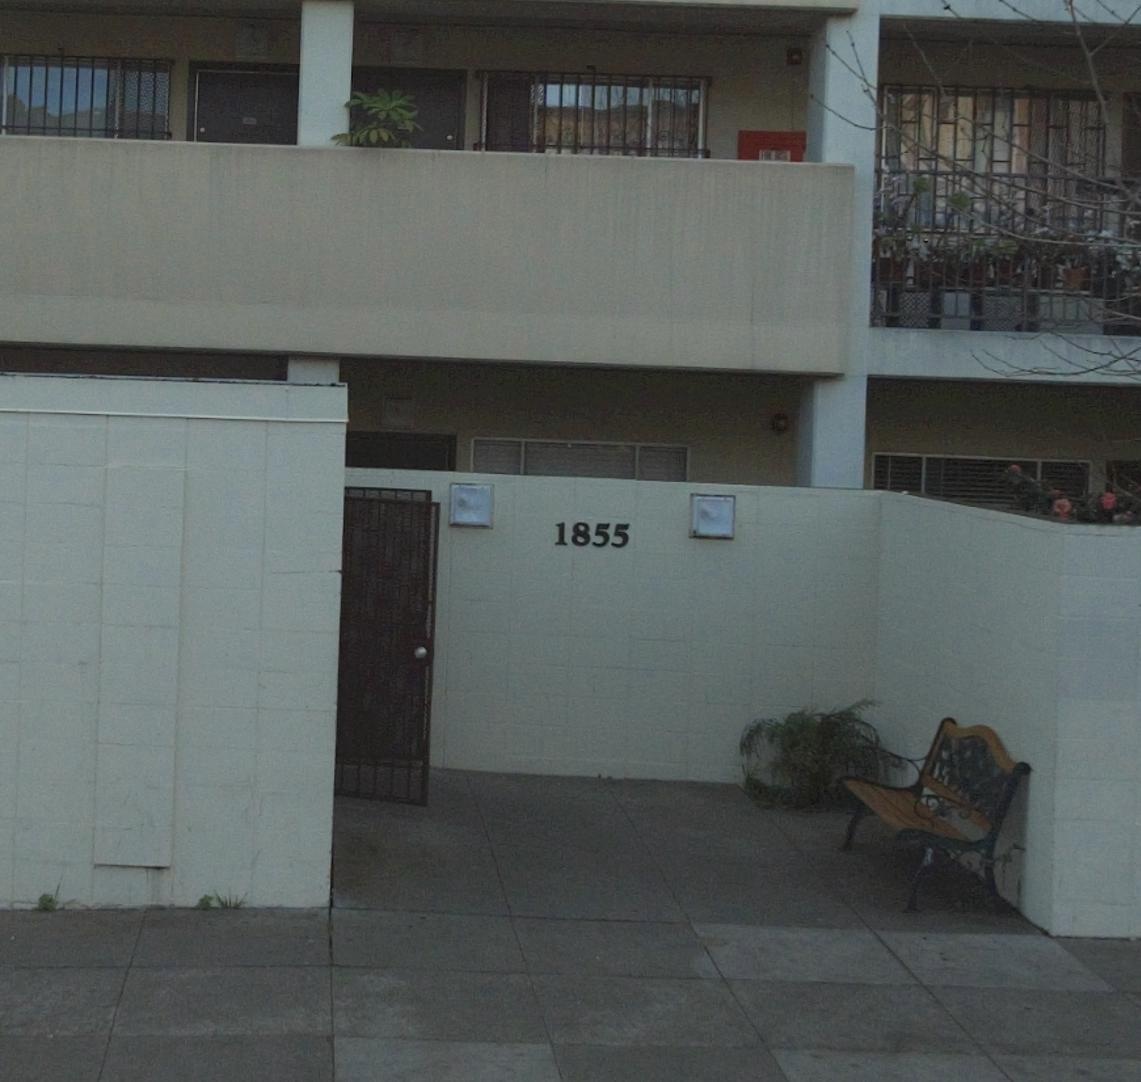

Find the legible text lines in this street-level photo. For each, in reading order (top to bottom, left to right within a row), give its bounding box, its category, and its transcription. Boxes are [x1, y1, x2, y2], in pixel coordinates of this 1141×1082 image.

[552, 518, 632, 552] StreetNumber: 1855